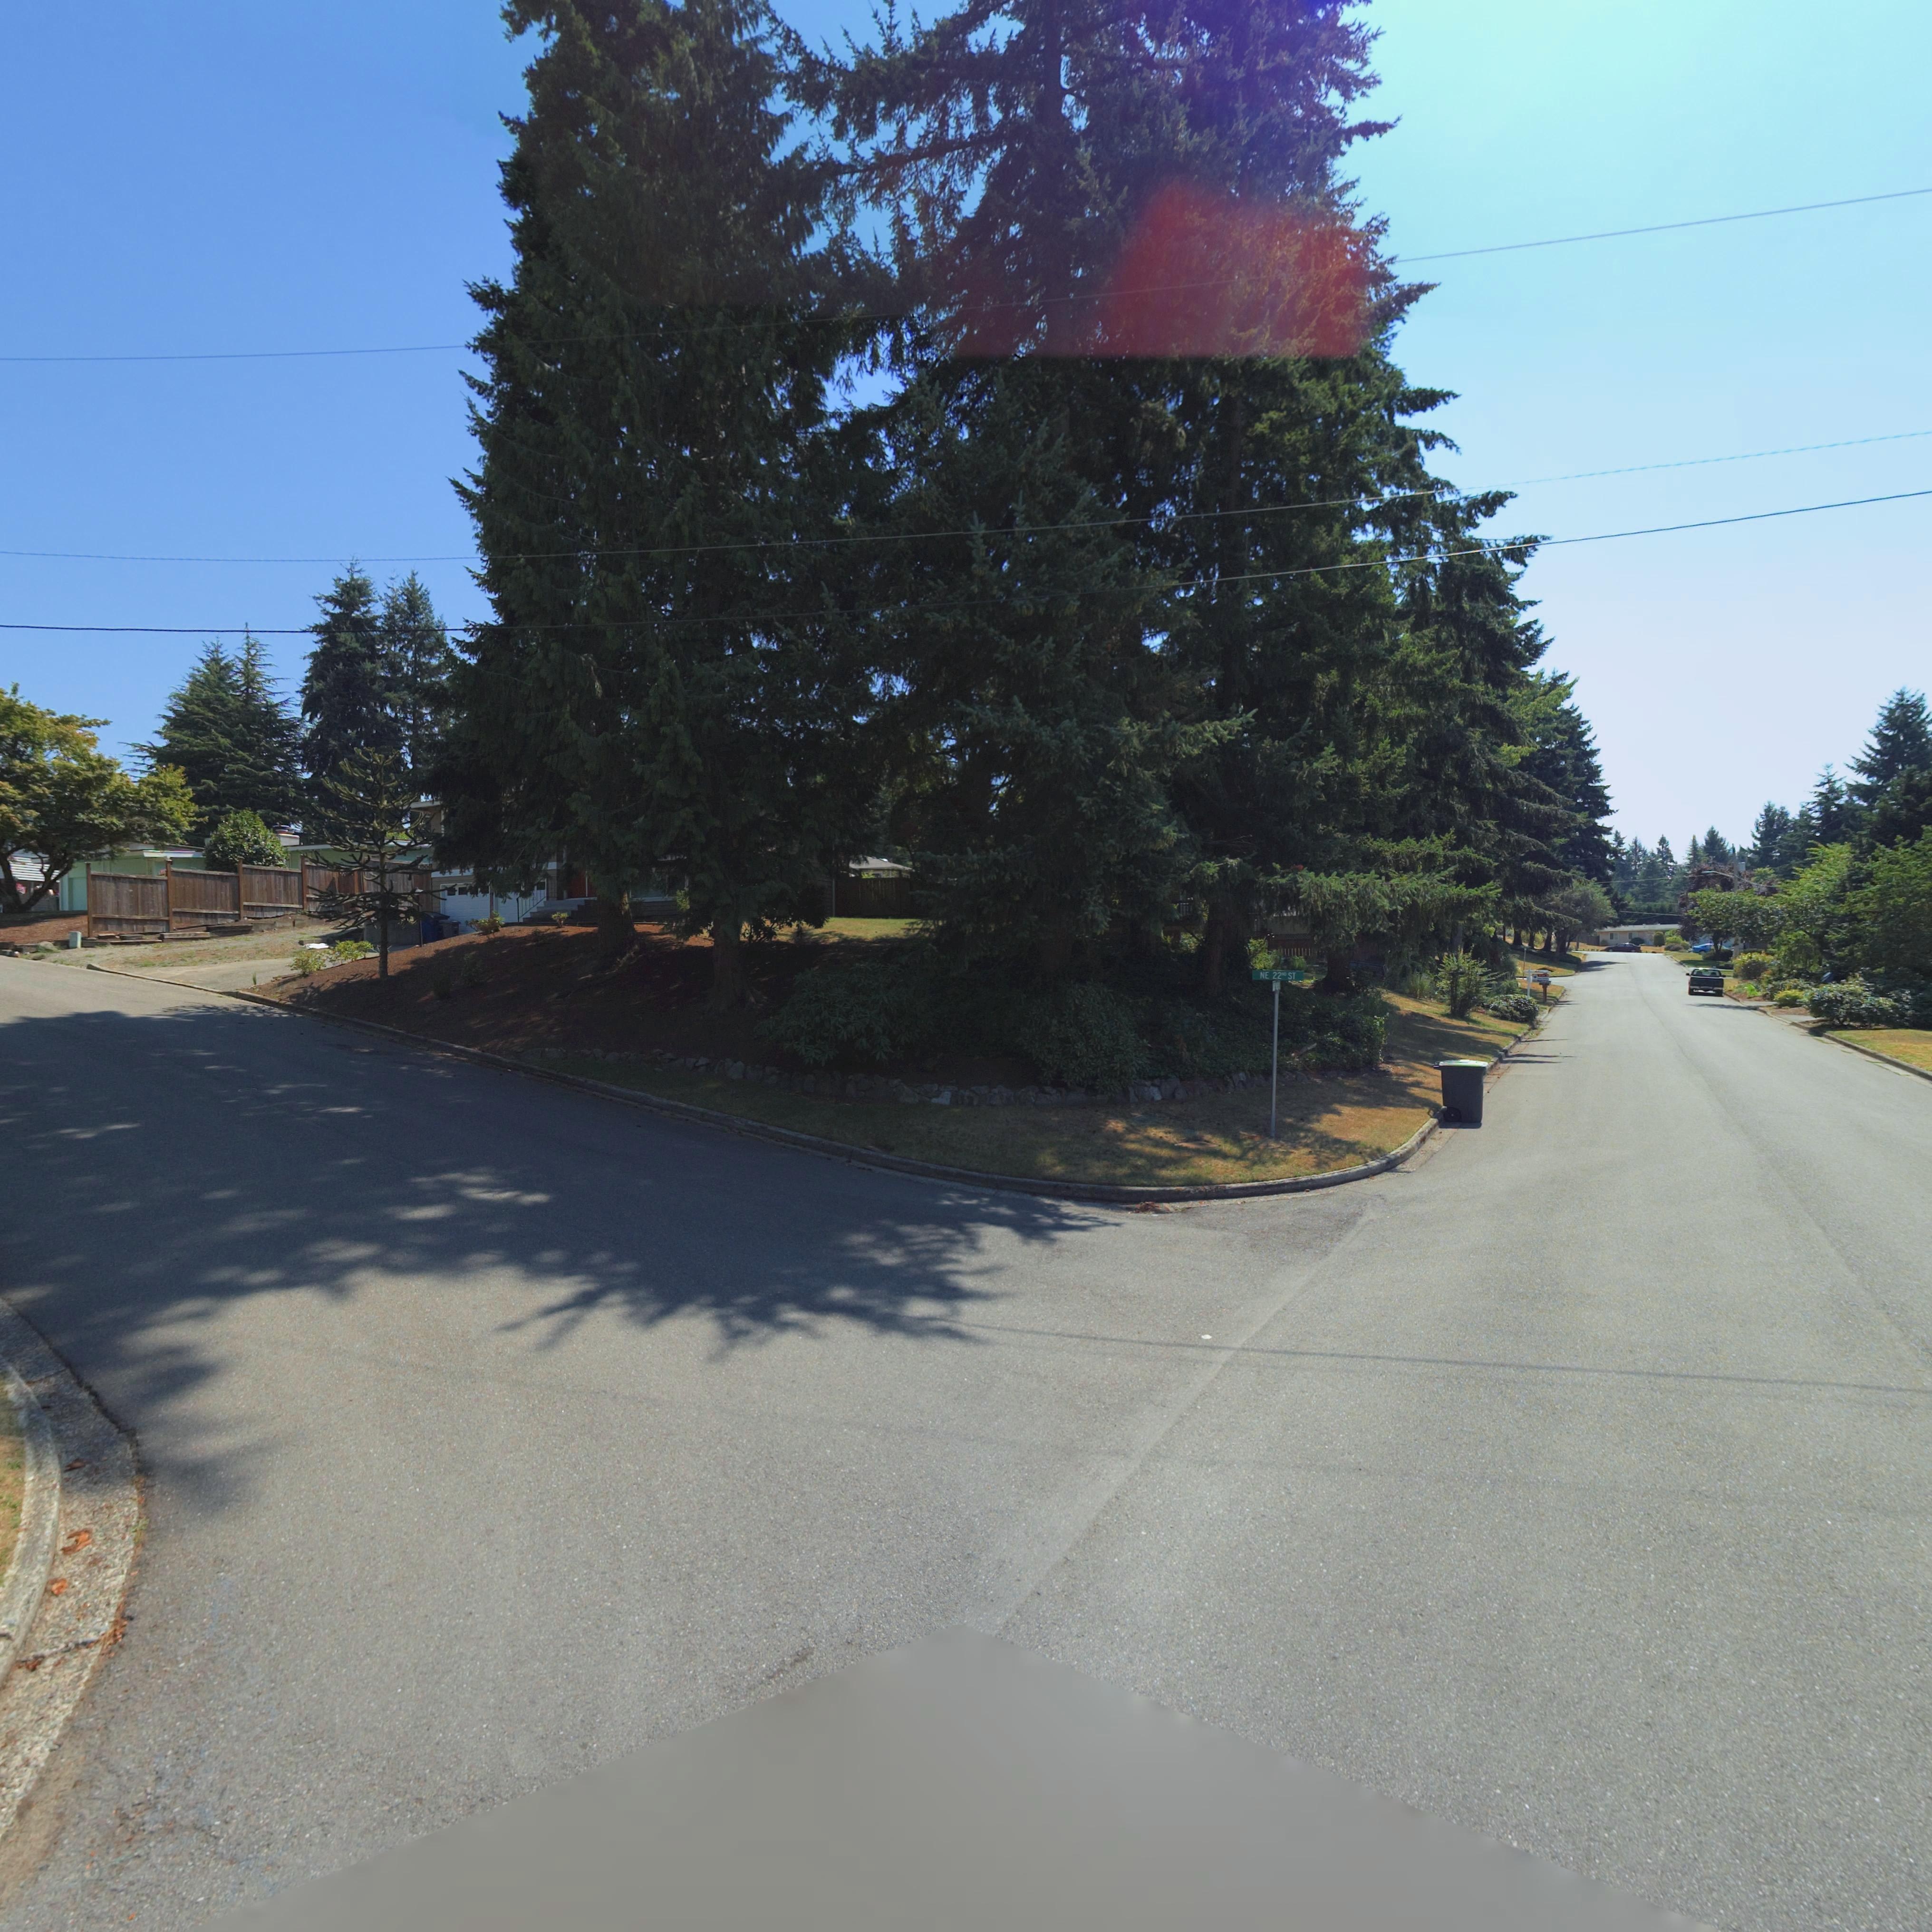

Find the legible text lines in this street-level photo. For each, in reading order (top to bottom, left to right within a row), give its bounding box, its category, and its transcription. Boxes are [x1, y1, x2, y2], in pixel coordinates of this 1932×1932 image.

[1258, 969, 1297, 980] StreetName: NE 22ND ST